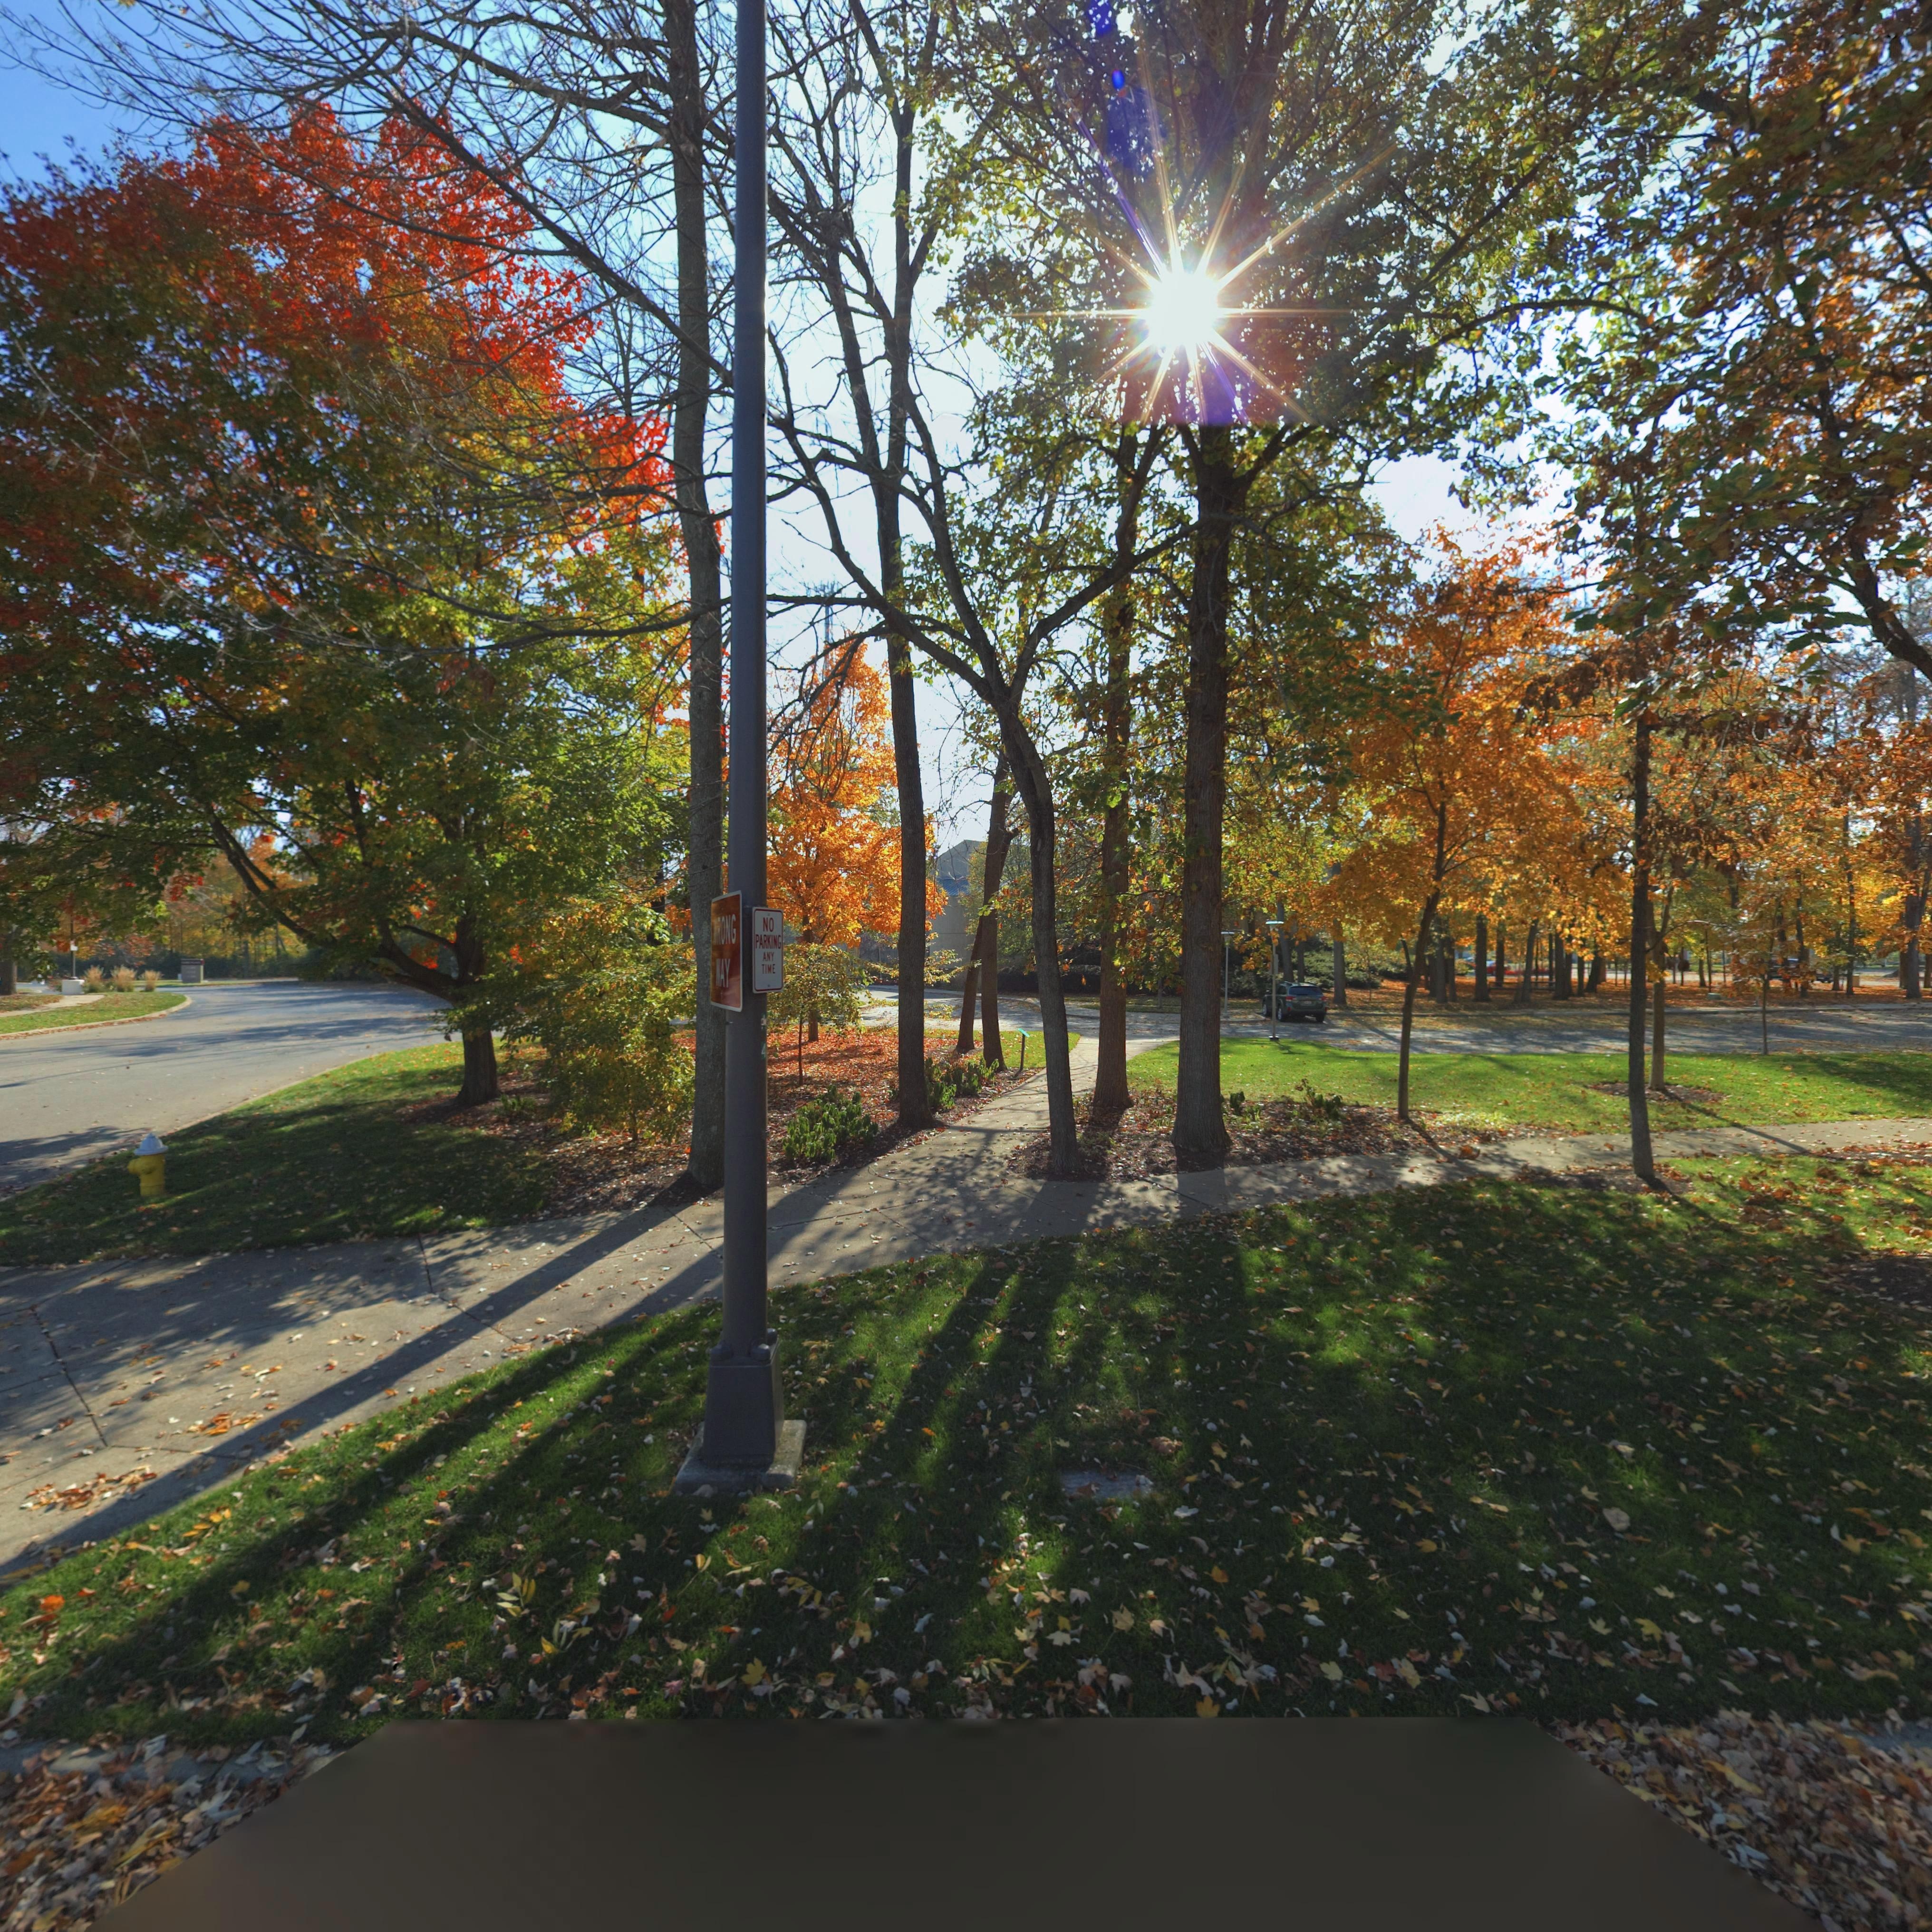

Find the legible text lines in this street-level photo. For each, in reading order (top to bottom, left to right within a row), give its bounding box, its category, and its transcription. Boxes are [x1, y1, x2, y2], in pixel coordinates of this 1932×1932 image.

[712, 913, 738, 945] None: WRONG
[762, 917, 774, 932] None: NO
[754, 934, 782, 949] None: PARKING
[761, 951, 775, 962] None: ANY
[715, 957, 732, 989] None: WAY
[761, 963, 776, 974] None: TIME